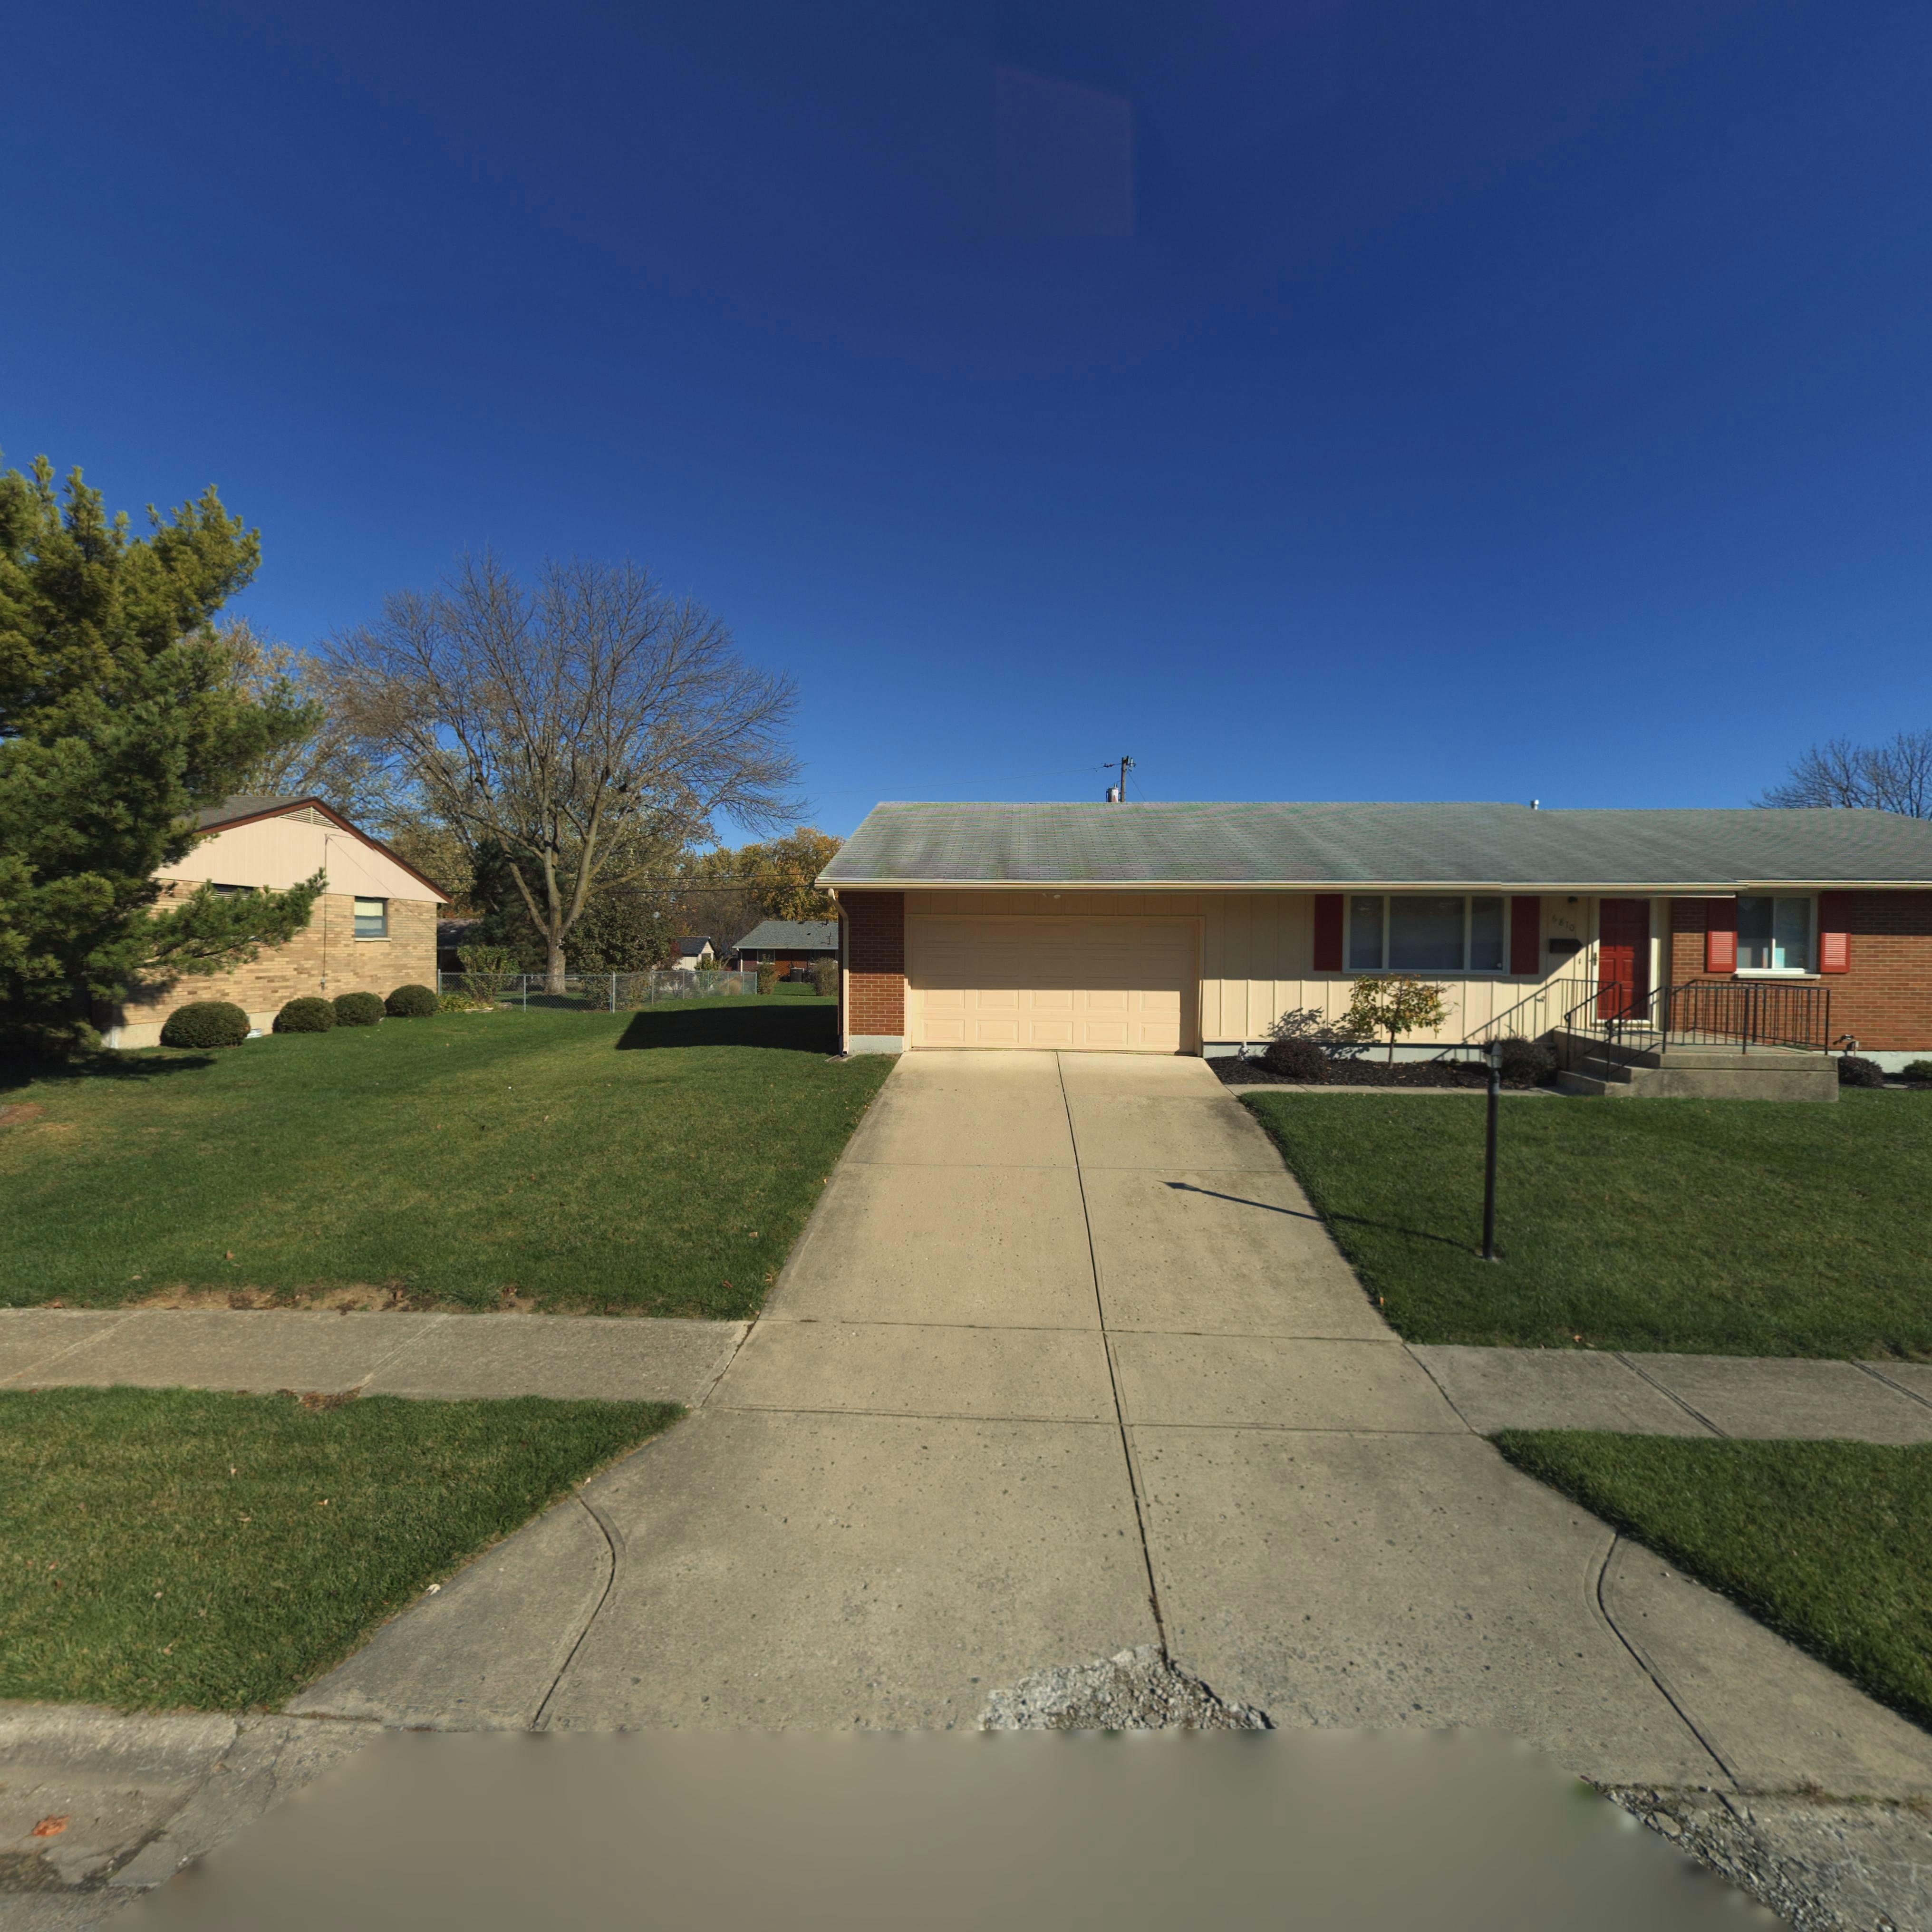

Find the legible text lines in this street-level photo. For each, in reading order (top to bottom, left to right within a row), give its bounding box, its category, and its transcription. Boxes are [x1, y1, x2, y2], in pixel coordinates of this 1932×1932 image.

[1551, 914, 1575, 932] StreetNumber: 6810